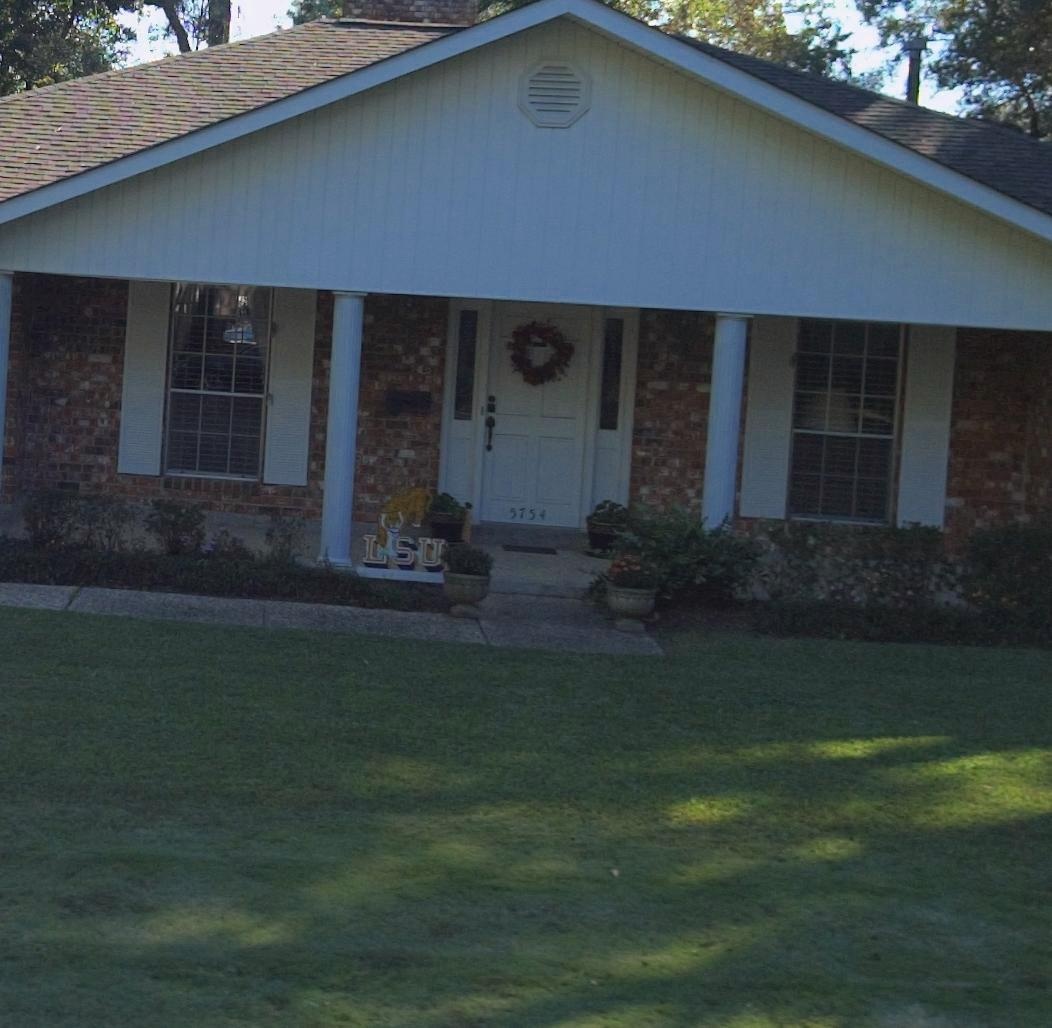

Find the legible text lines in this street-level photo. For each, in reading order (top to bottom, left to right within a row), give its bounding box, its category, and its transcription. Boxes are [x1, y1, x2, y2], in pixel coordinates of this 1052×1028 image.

[507, 504, 549, 524] StreetNumber: 5754
[361, 532, 446, 569] None: LSU